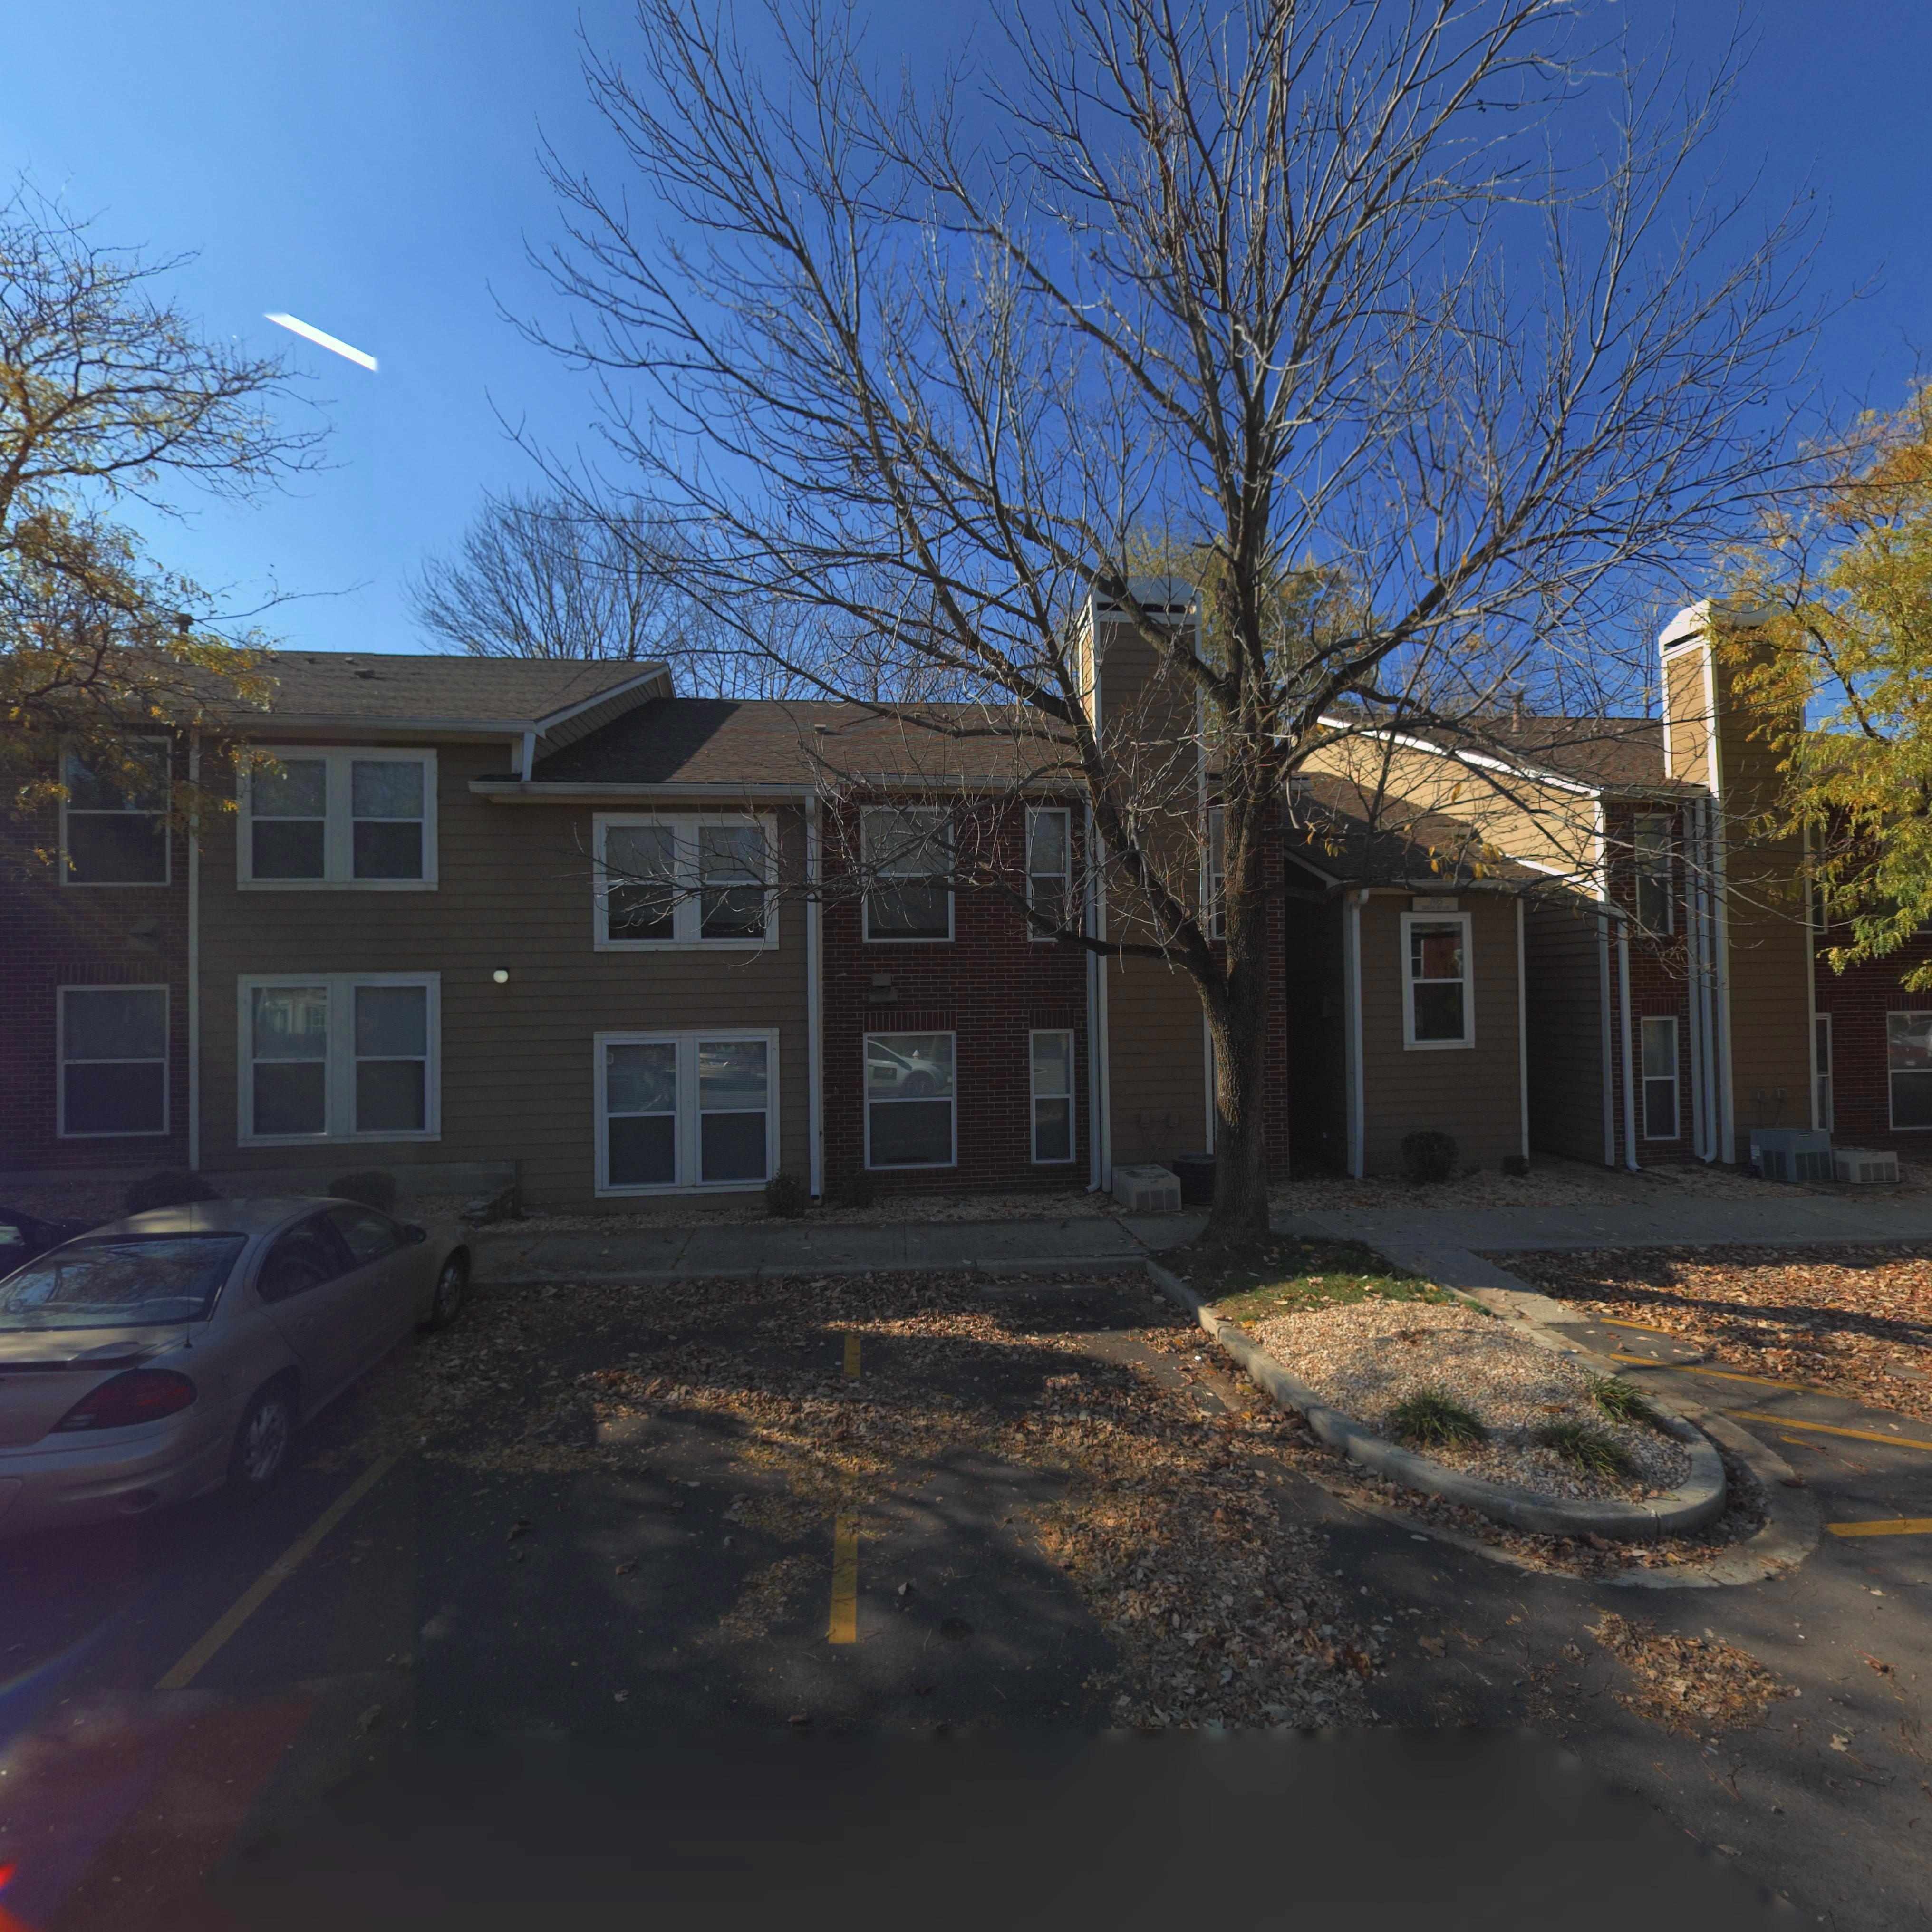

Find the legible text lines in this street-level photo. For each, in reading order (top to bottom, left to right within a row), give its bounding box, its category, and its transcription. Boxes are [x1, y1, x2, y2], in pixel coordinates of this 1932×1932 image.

[1429, 897, 1443, 905] StreetNumber: 795